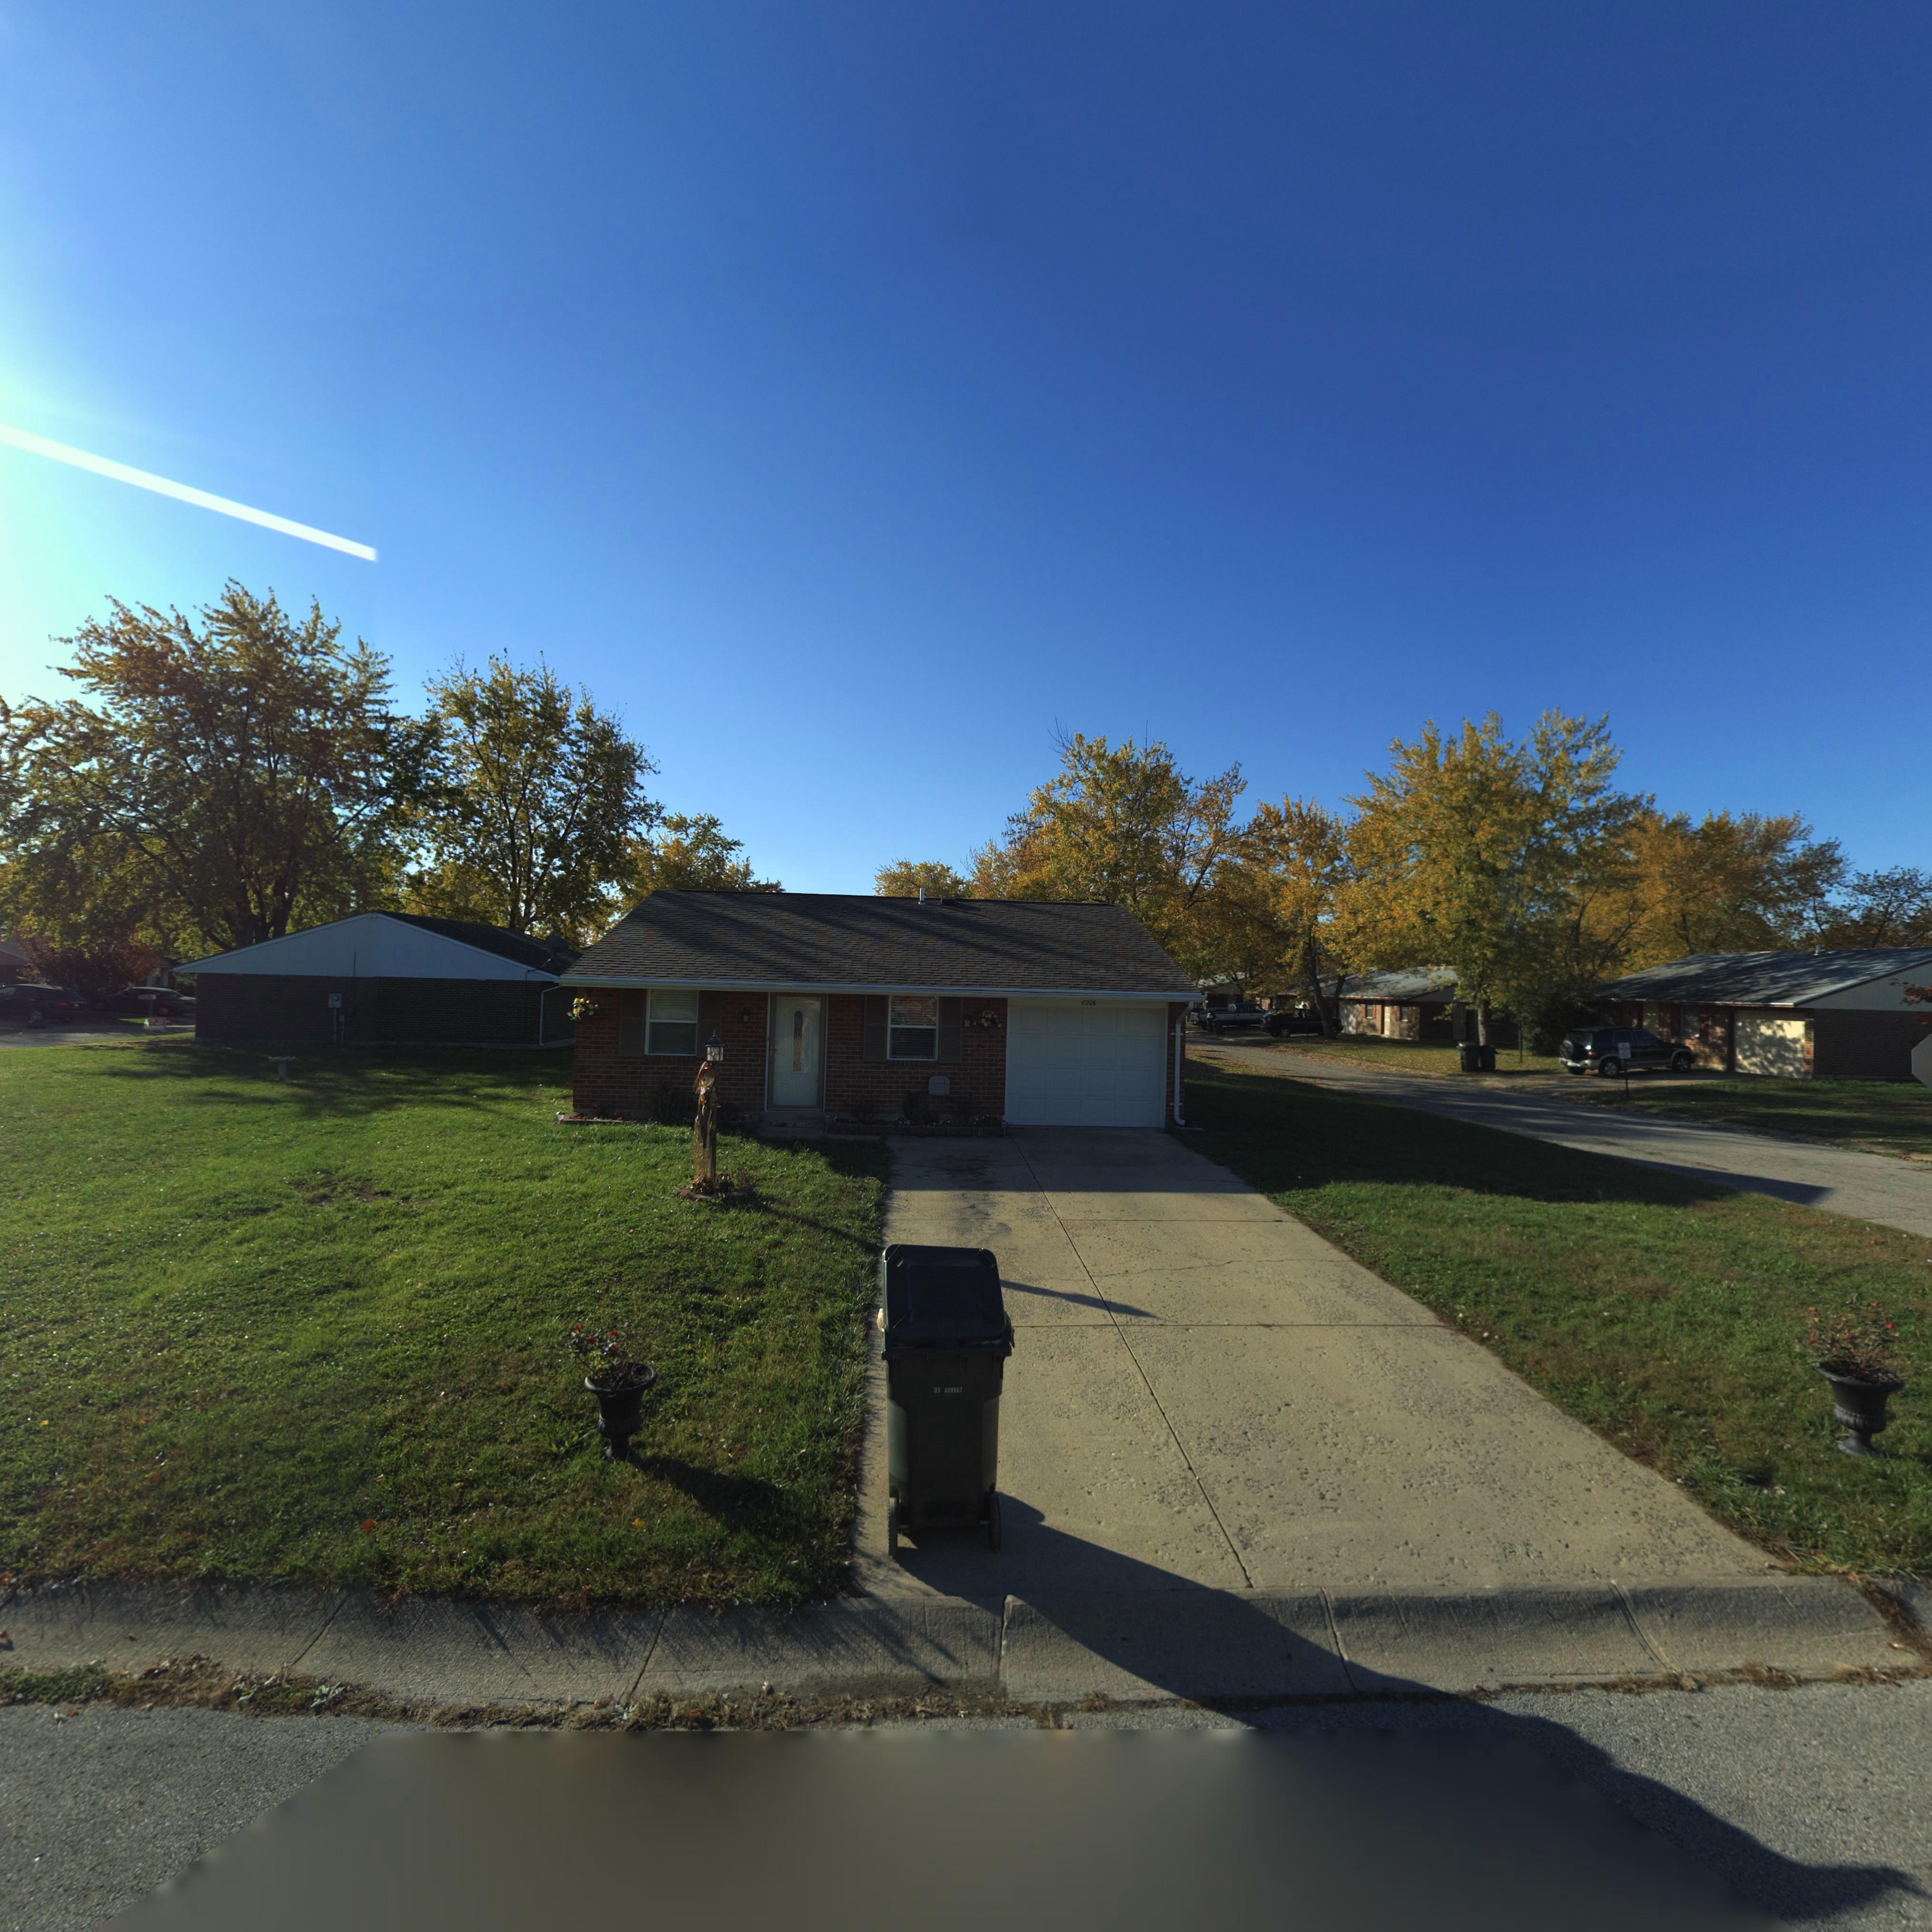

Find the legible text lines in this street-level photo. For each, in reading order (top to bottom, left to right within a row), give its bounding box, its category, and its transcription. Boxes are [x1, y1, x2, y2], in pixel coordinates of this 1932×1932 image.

[1081, 1000, 1096, 1005] StreetNumber: 8206